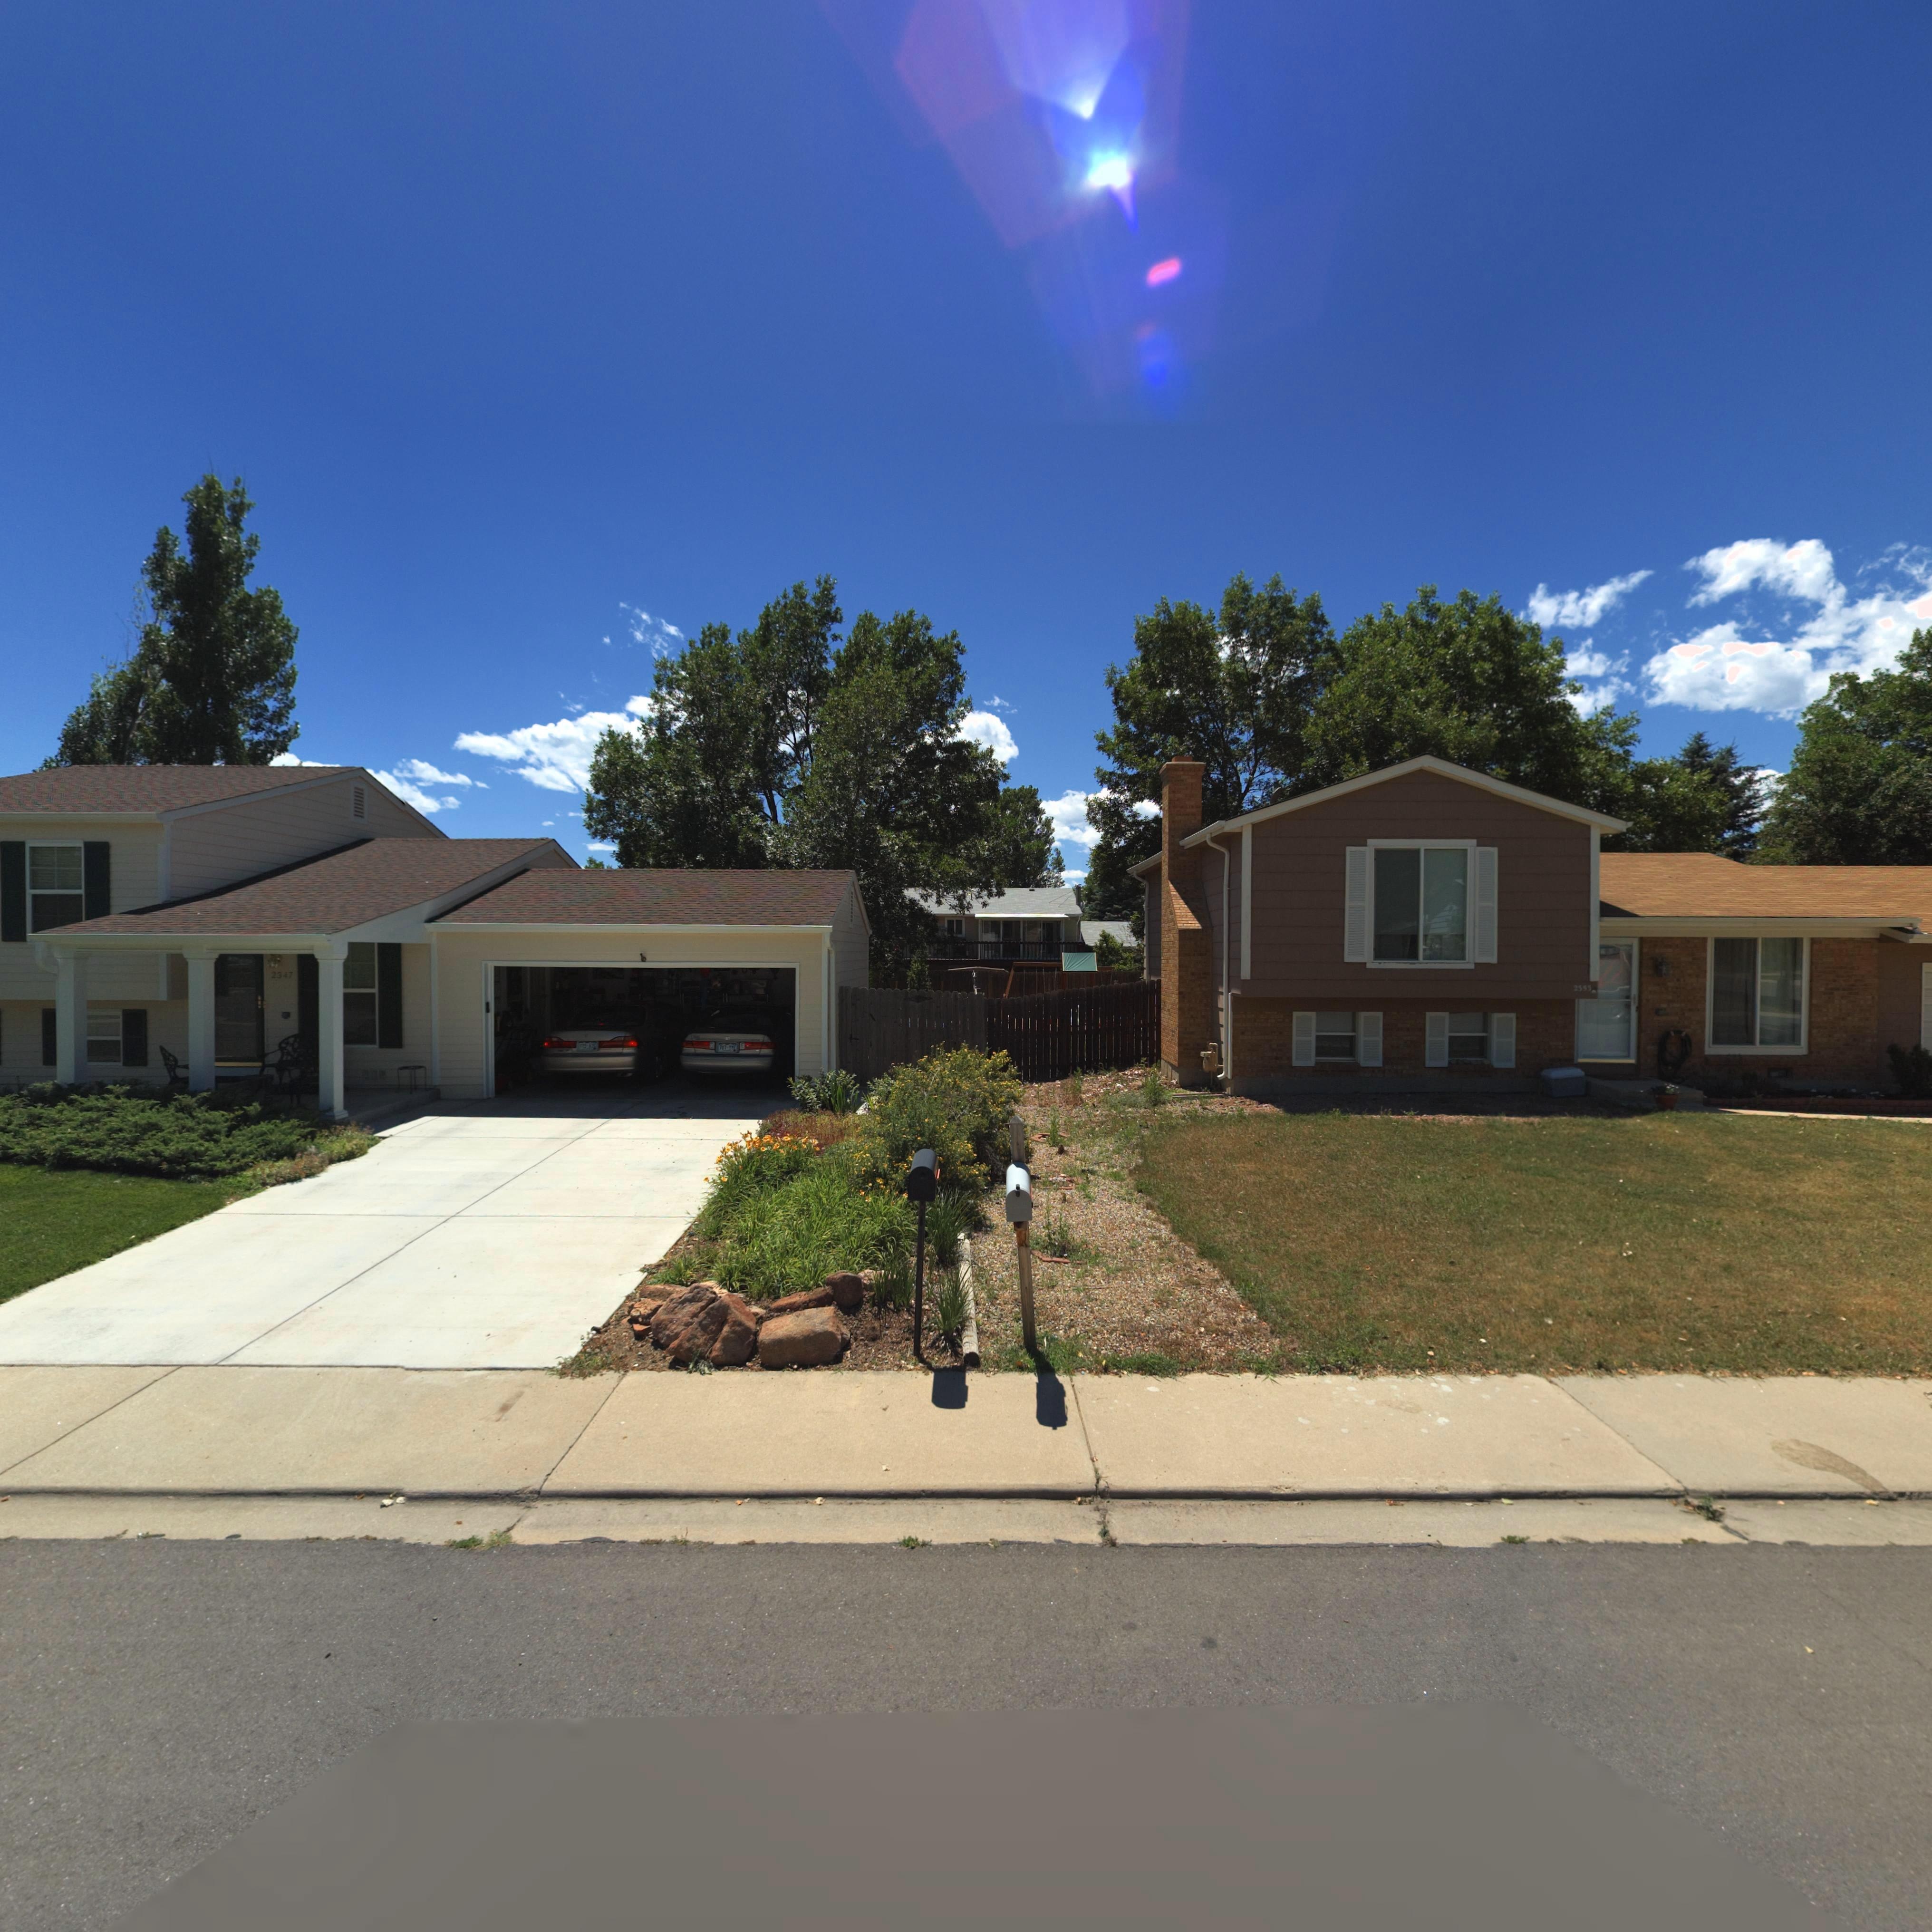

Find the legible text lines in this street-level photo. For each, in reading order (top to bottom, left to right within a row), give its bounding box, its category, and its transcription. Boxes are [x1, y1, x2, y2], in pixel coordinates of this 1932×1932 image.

[270, 971, 293, 979] StreetNumber: 2347
[1573, 984, 1593, 992] StreetNumber: 2353